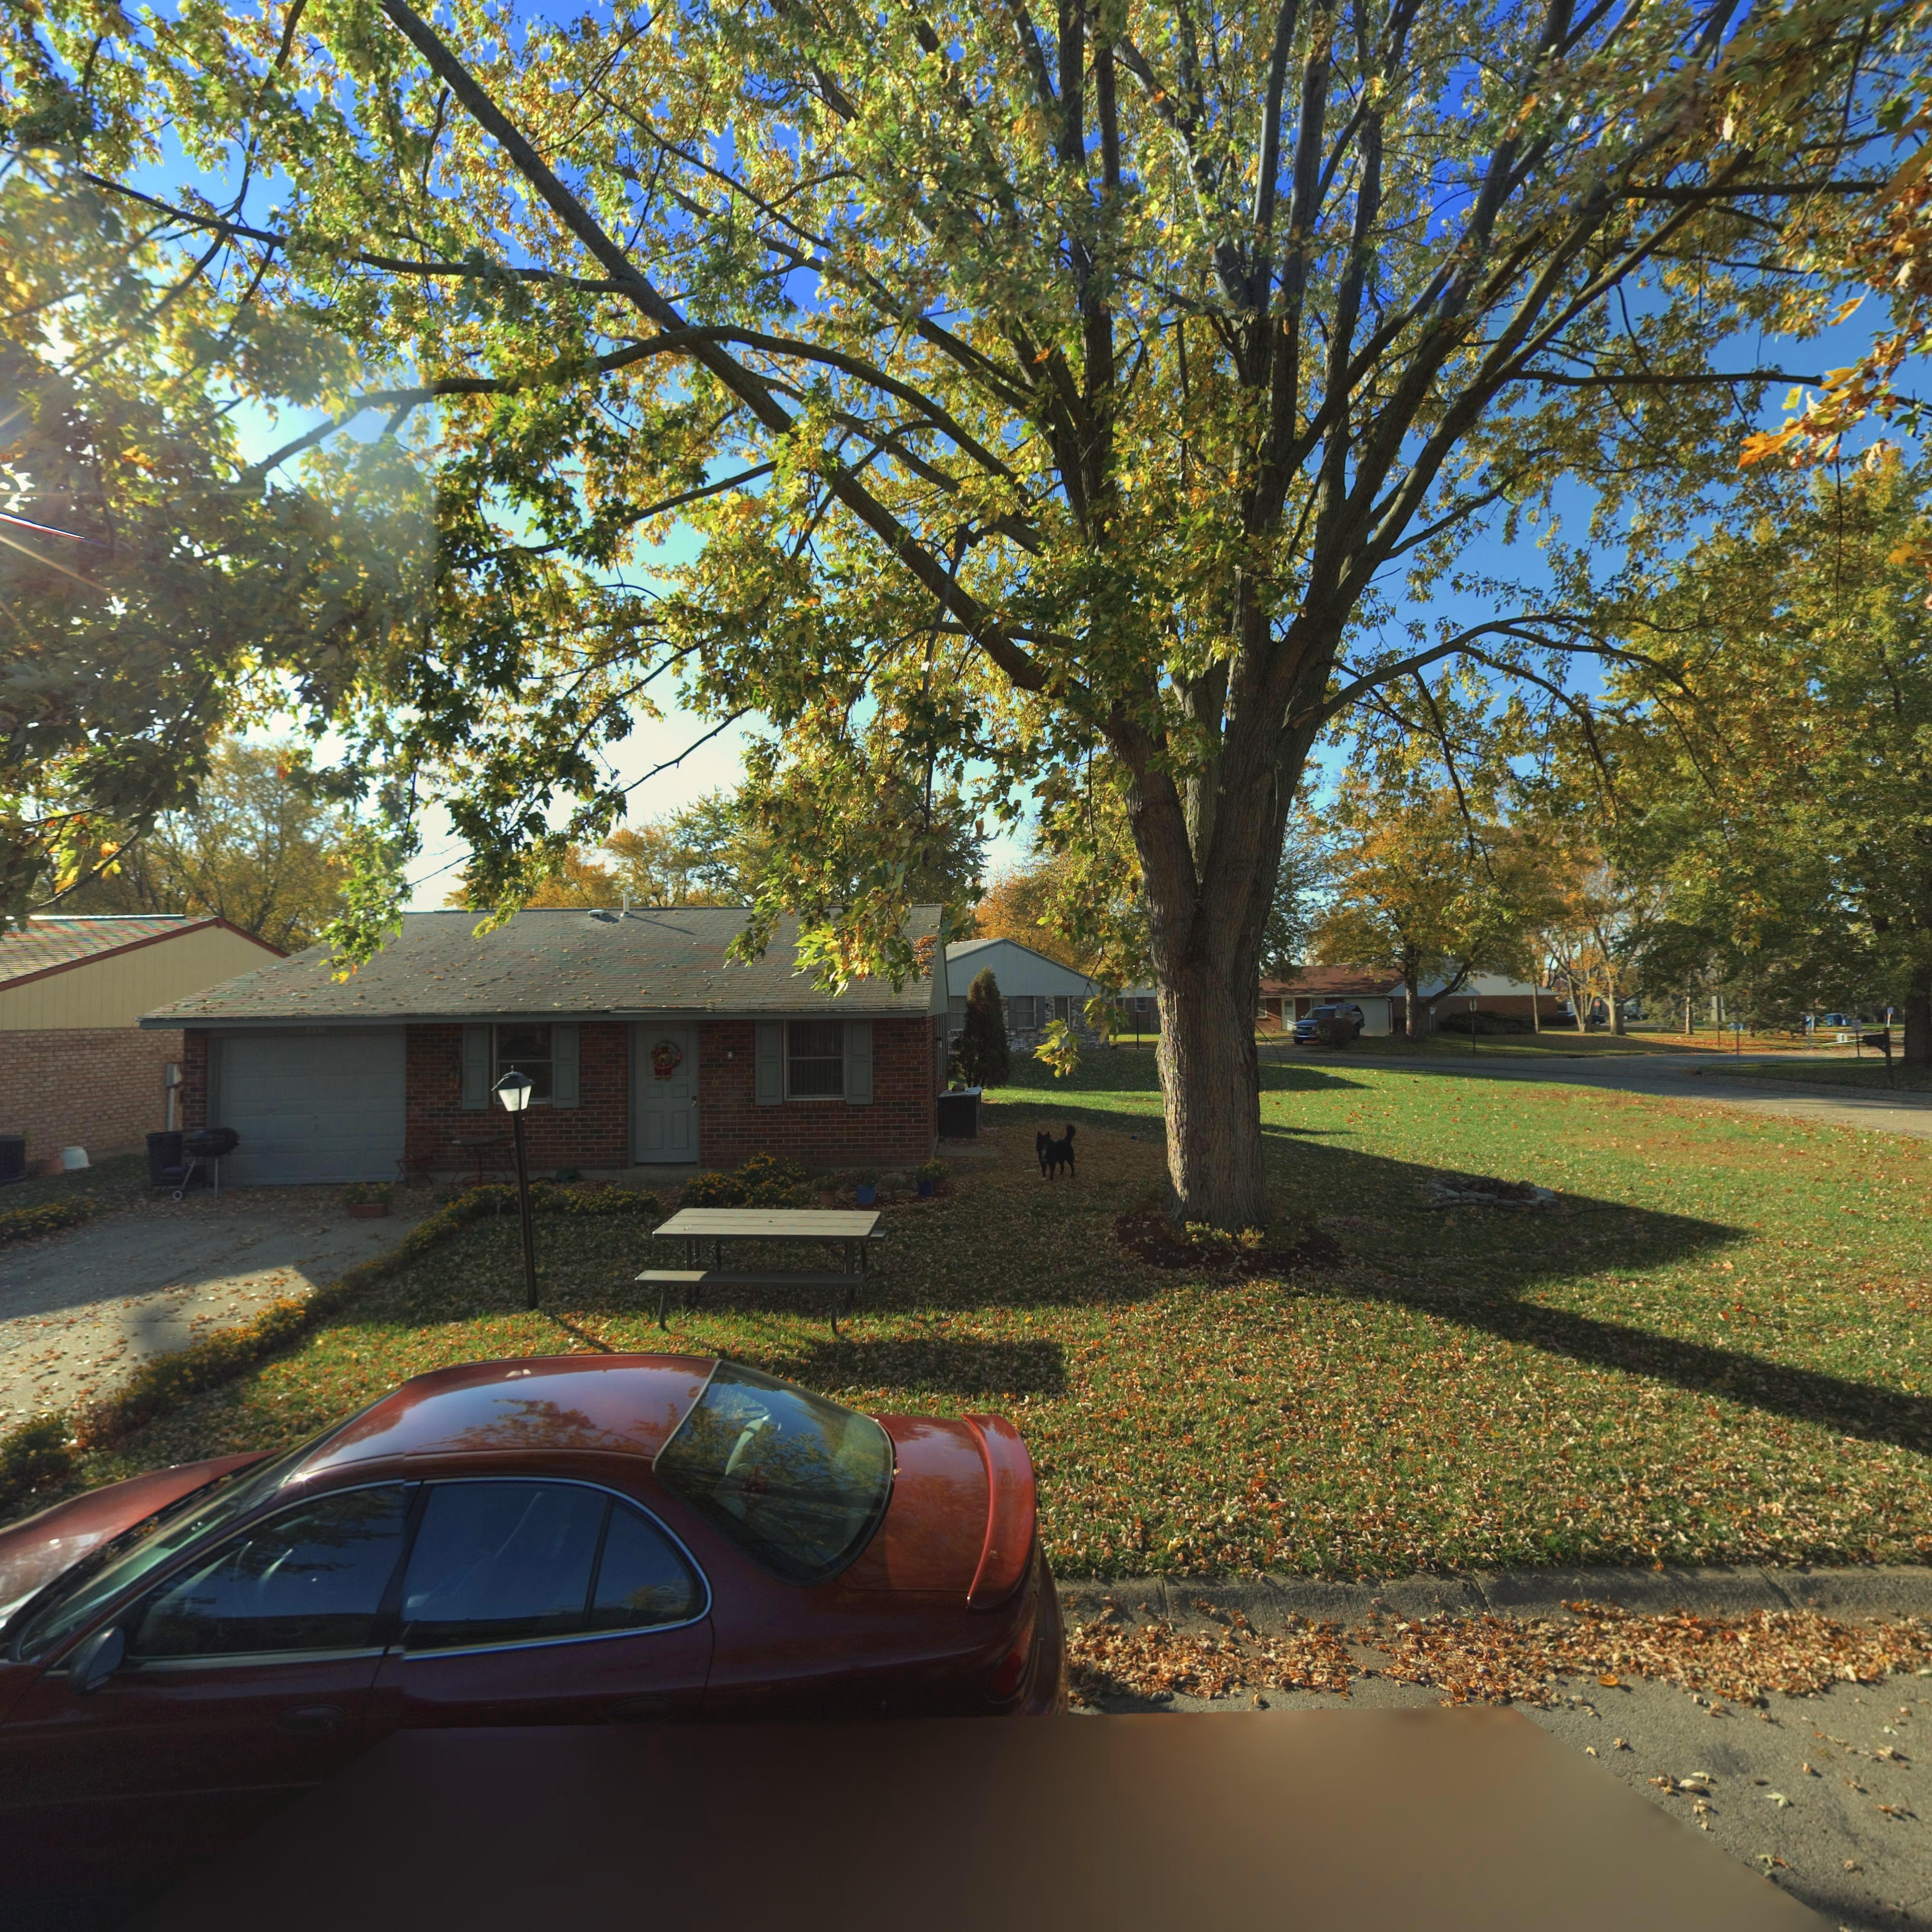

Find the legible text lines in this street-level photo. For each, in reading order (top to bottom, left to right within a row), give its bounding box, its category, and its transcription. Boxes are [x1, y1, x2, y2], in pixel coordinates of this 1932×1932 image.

[304, 1025, 327, 1034] StreetNumber: 8*3*